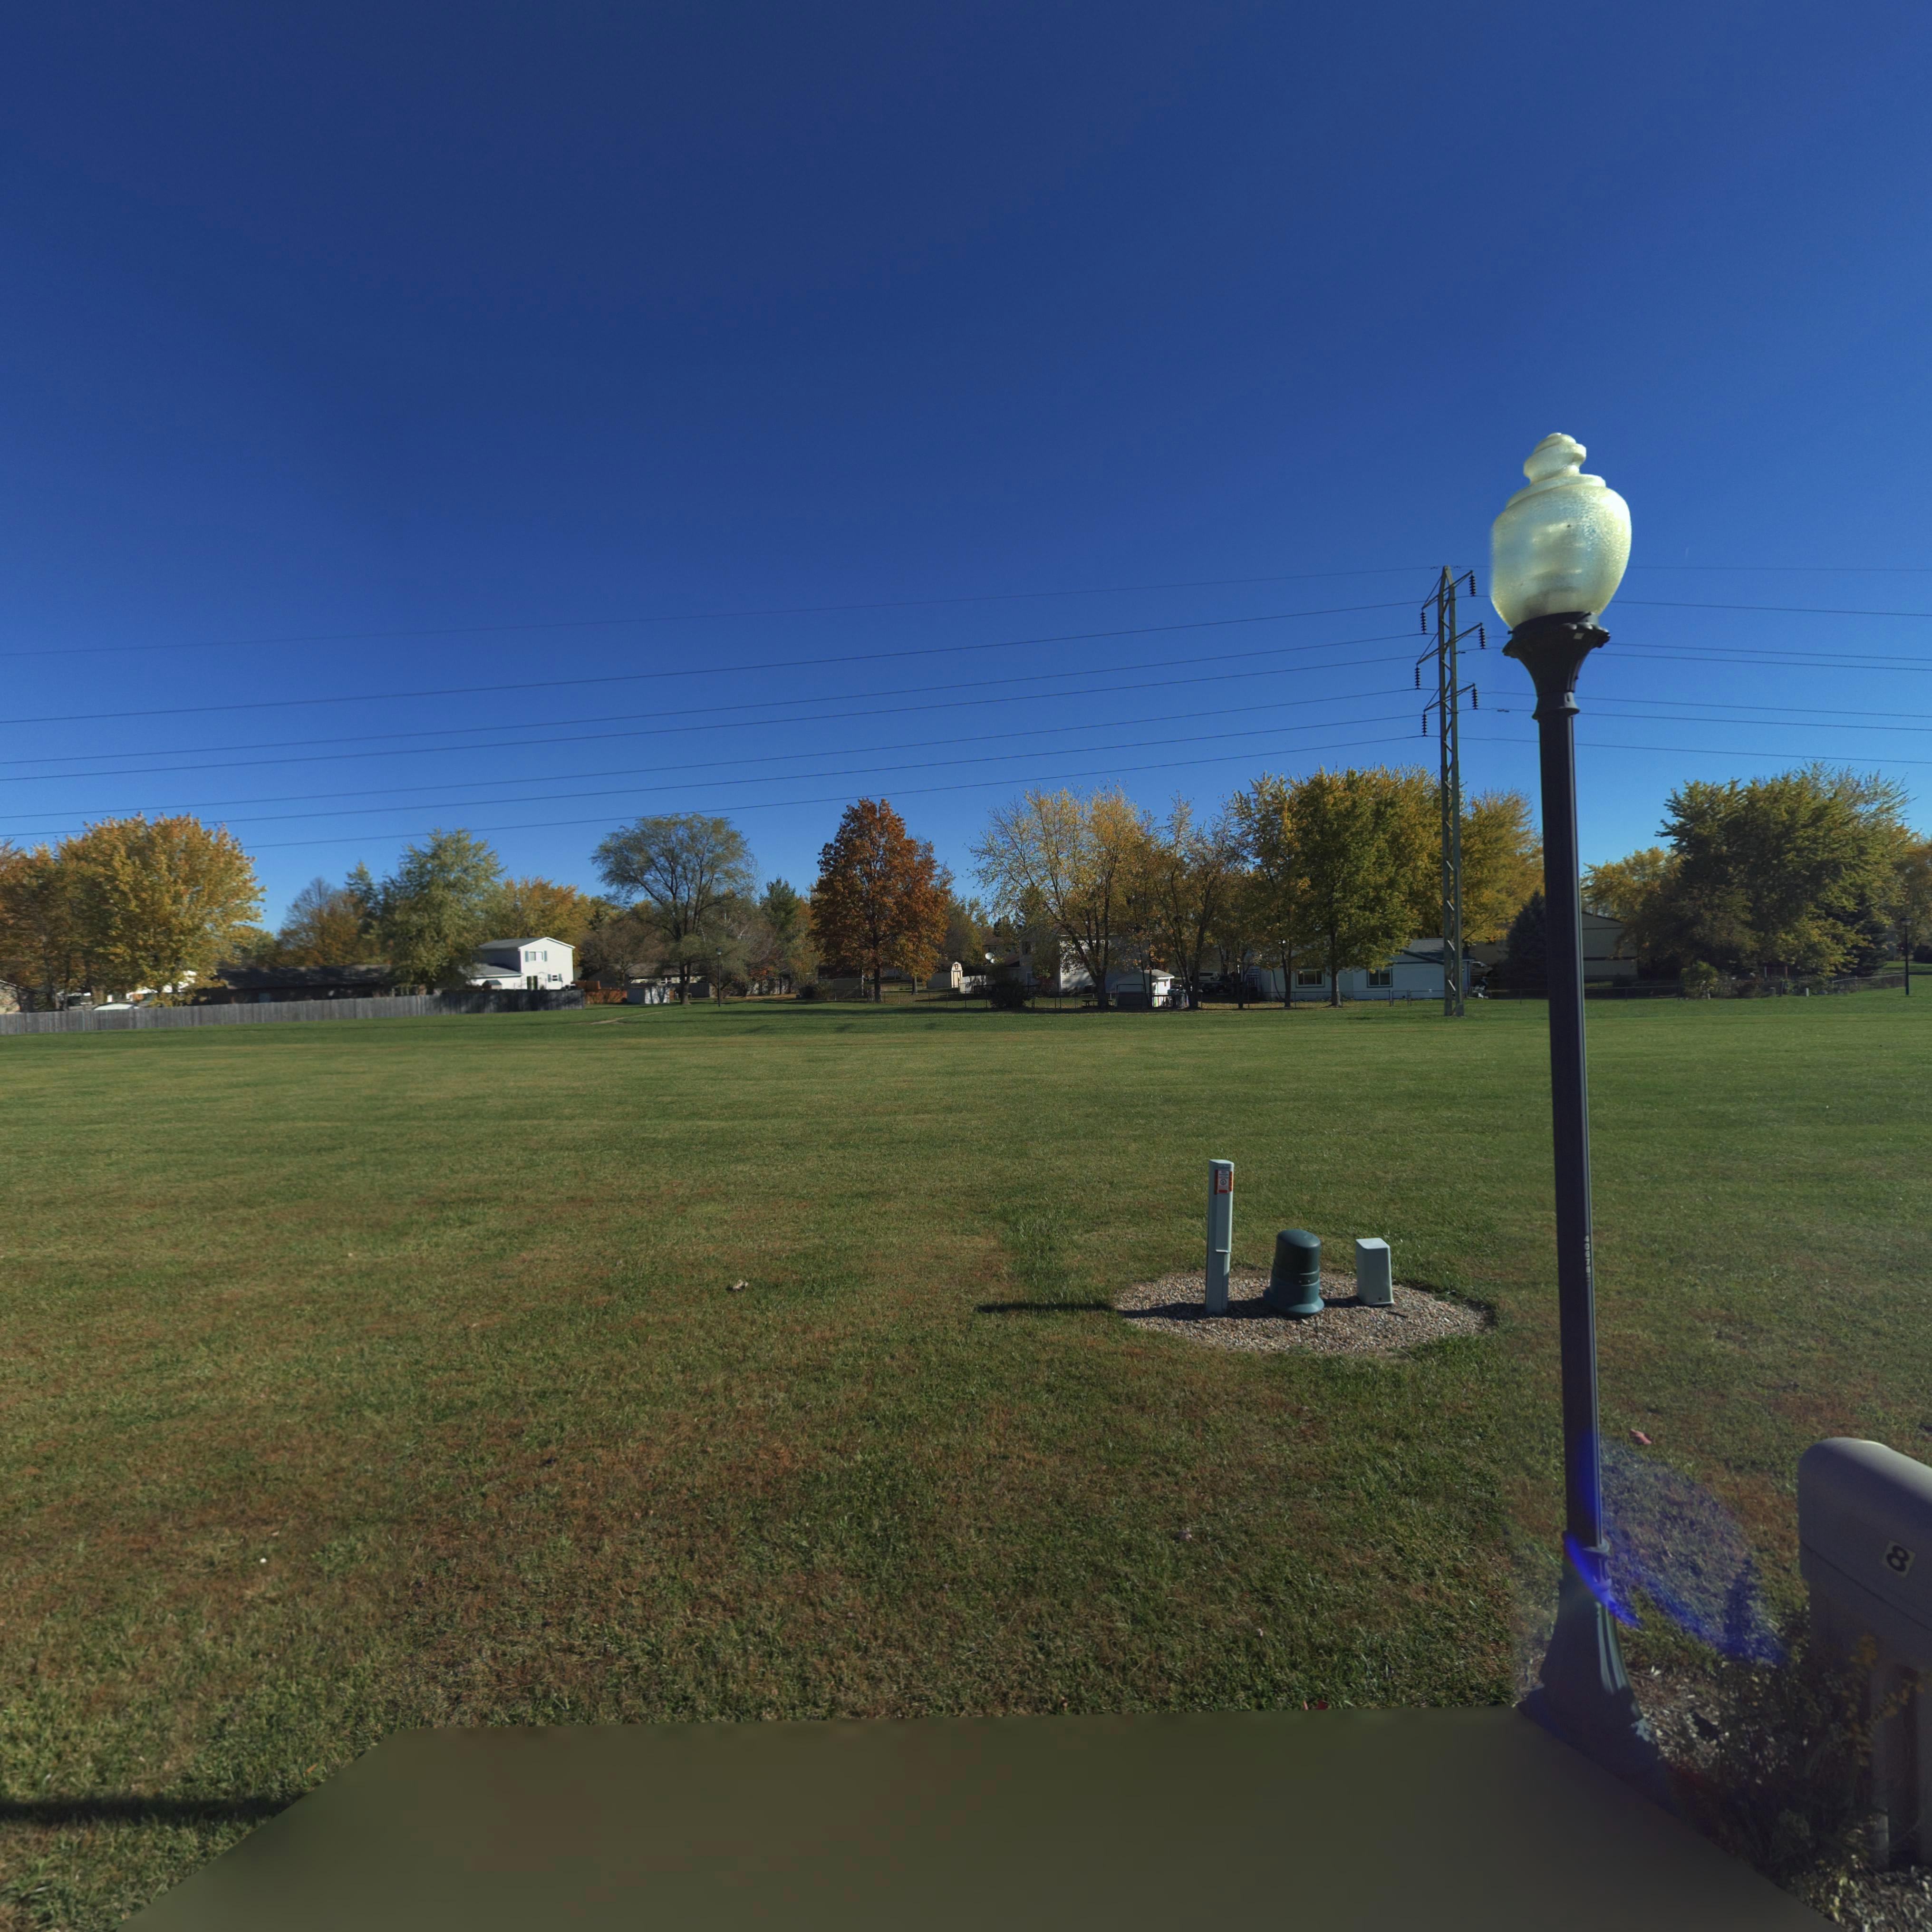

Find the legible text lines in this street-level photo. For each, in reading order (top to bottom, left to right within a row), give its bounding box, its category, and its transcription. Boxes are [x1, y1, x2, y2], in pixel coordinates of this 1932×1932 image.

[1884, 1542, 1913, 1574] StreetNumber: 8